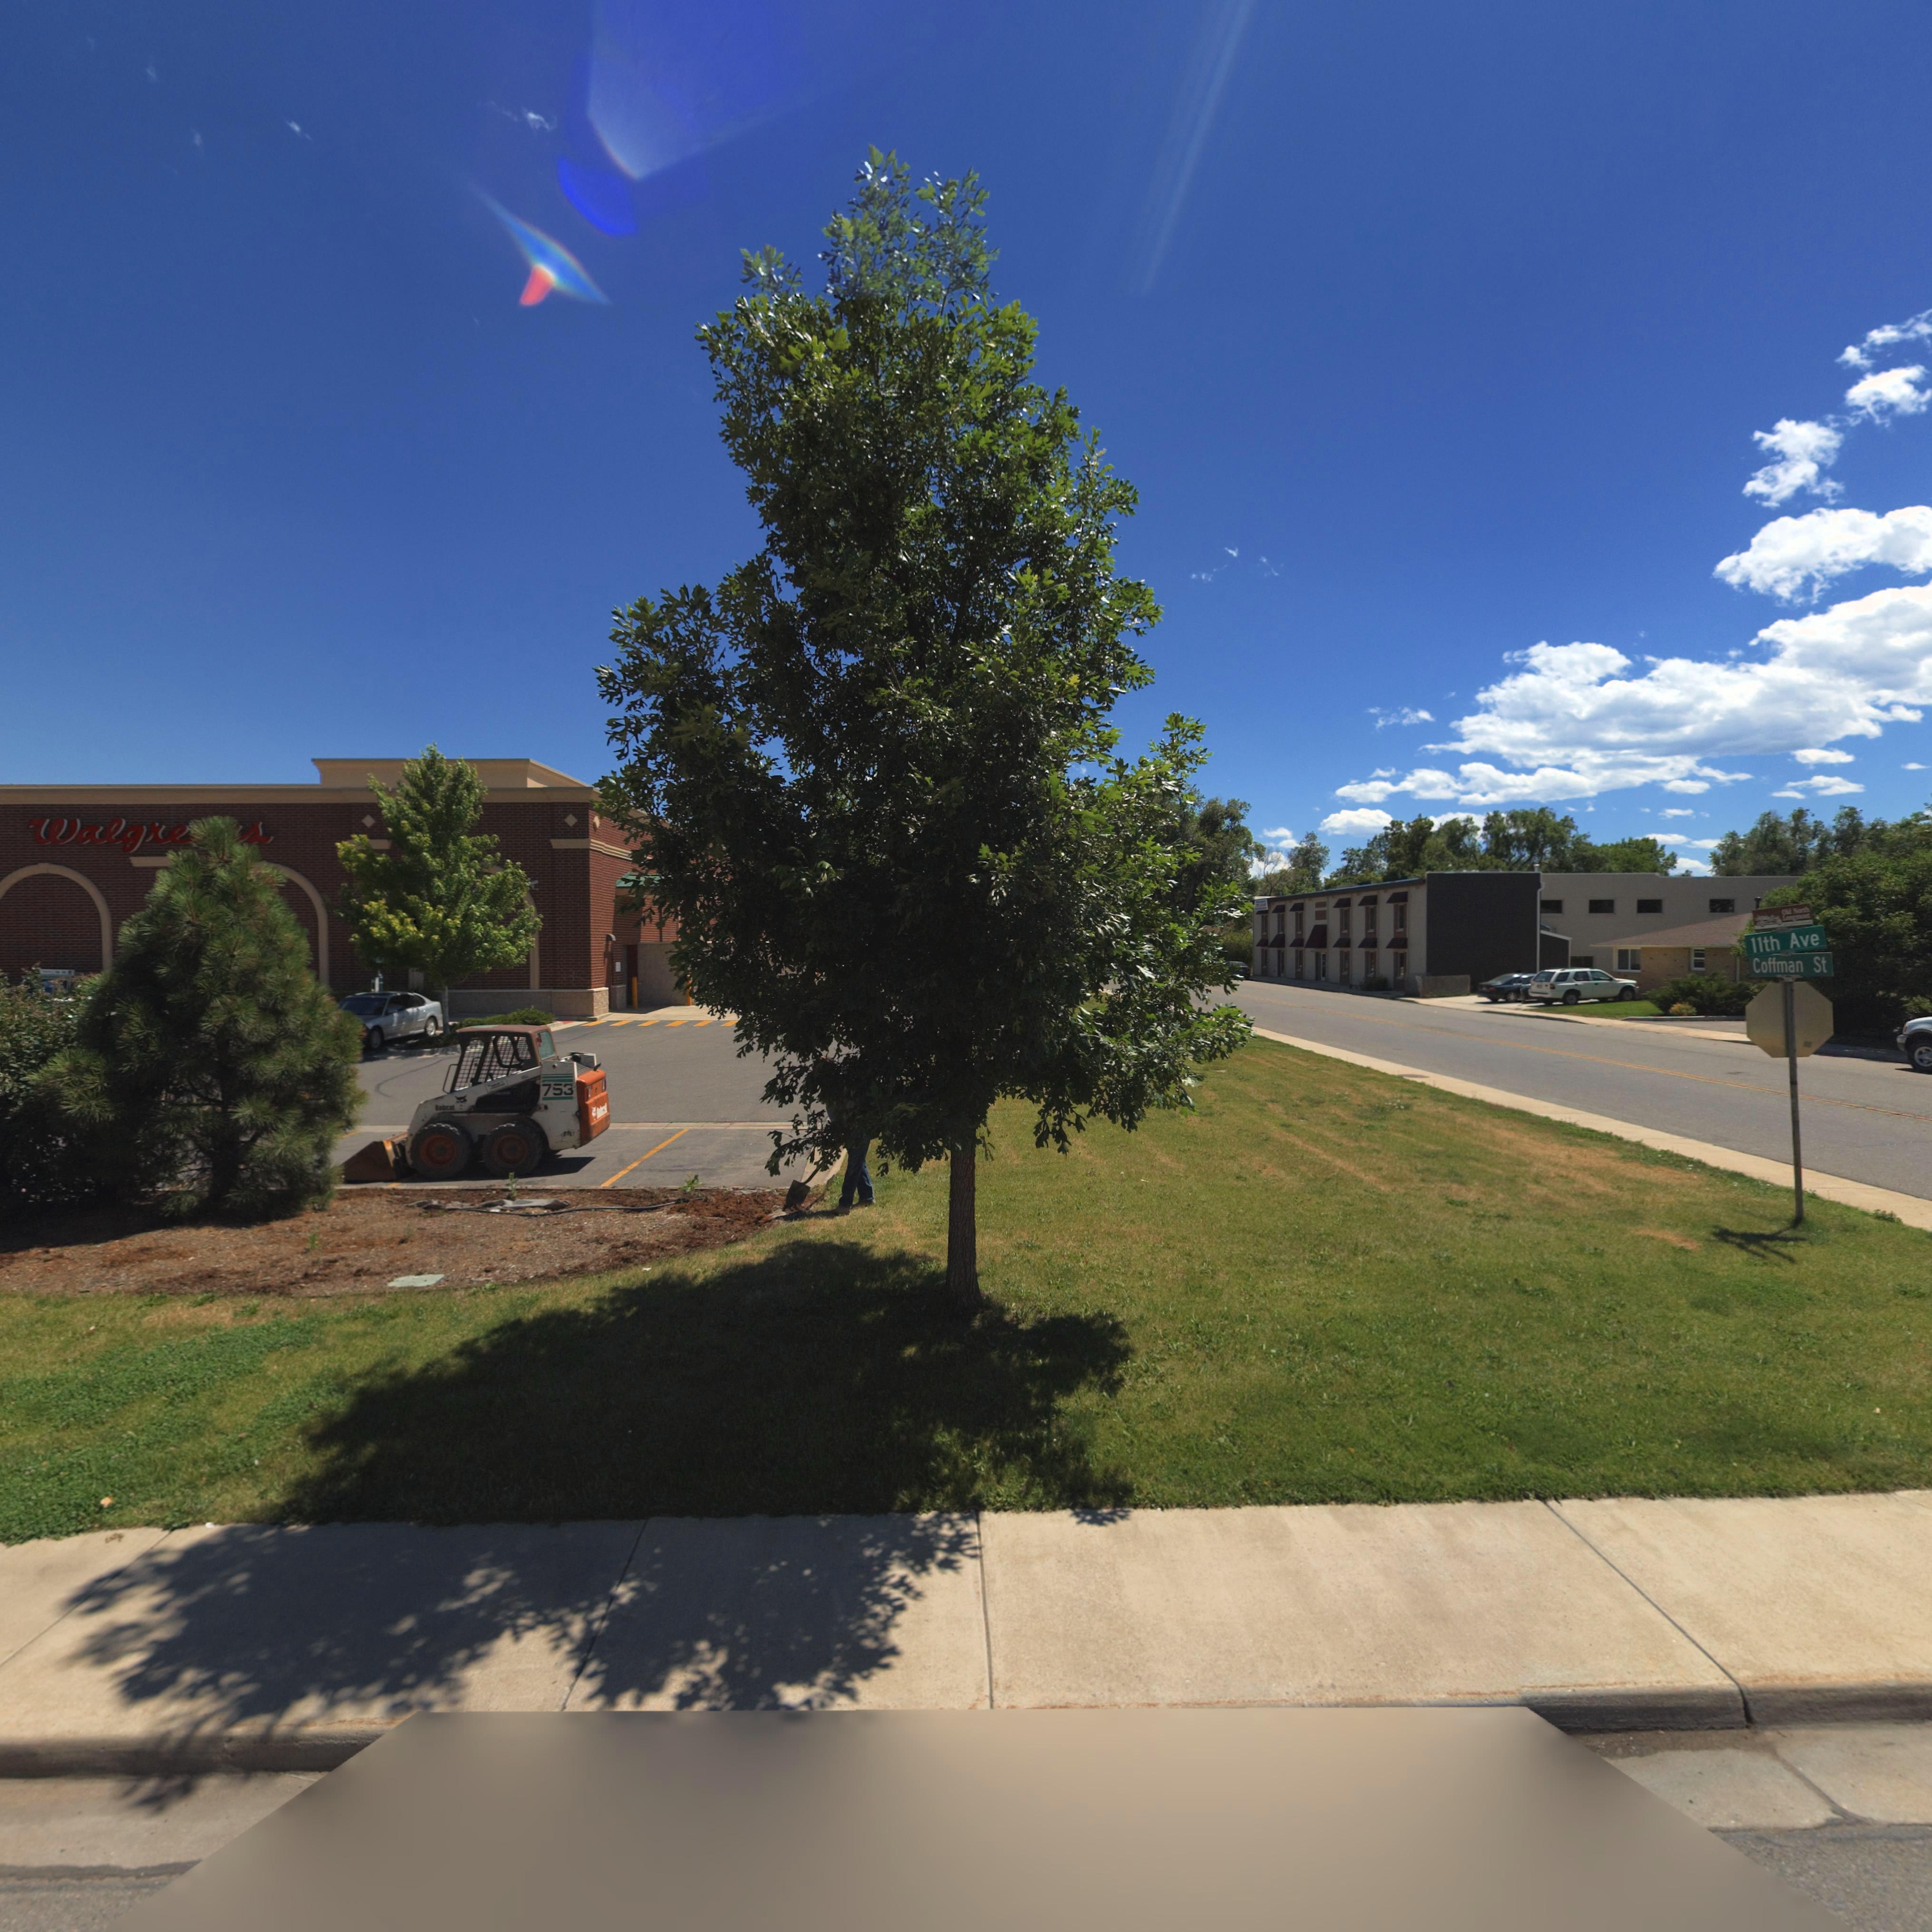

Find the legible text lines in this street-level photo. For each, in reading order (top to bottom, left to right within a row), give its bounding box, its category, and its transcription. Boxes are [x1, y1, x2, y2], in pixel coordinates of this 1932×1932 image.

[26, 816, 275, 854] BusinessName: Walgre**s
[1749, 931, 1820, 954] StreetName: 11th Ave
[1752, 955, 1828, 974] StreetName: Coffman St